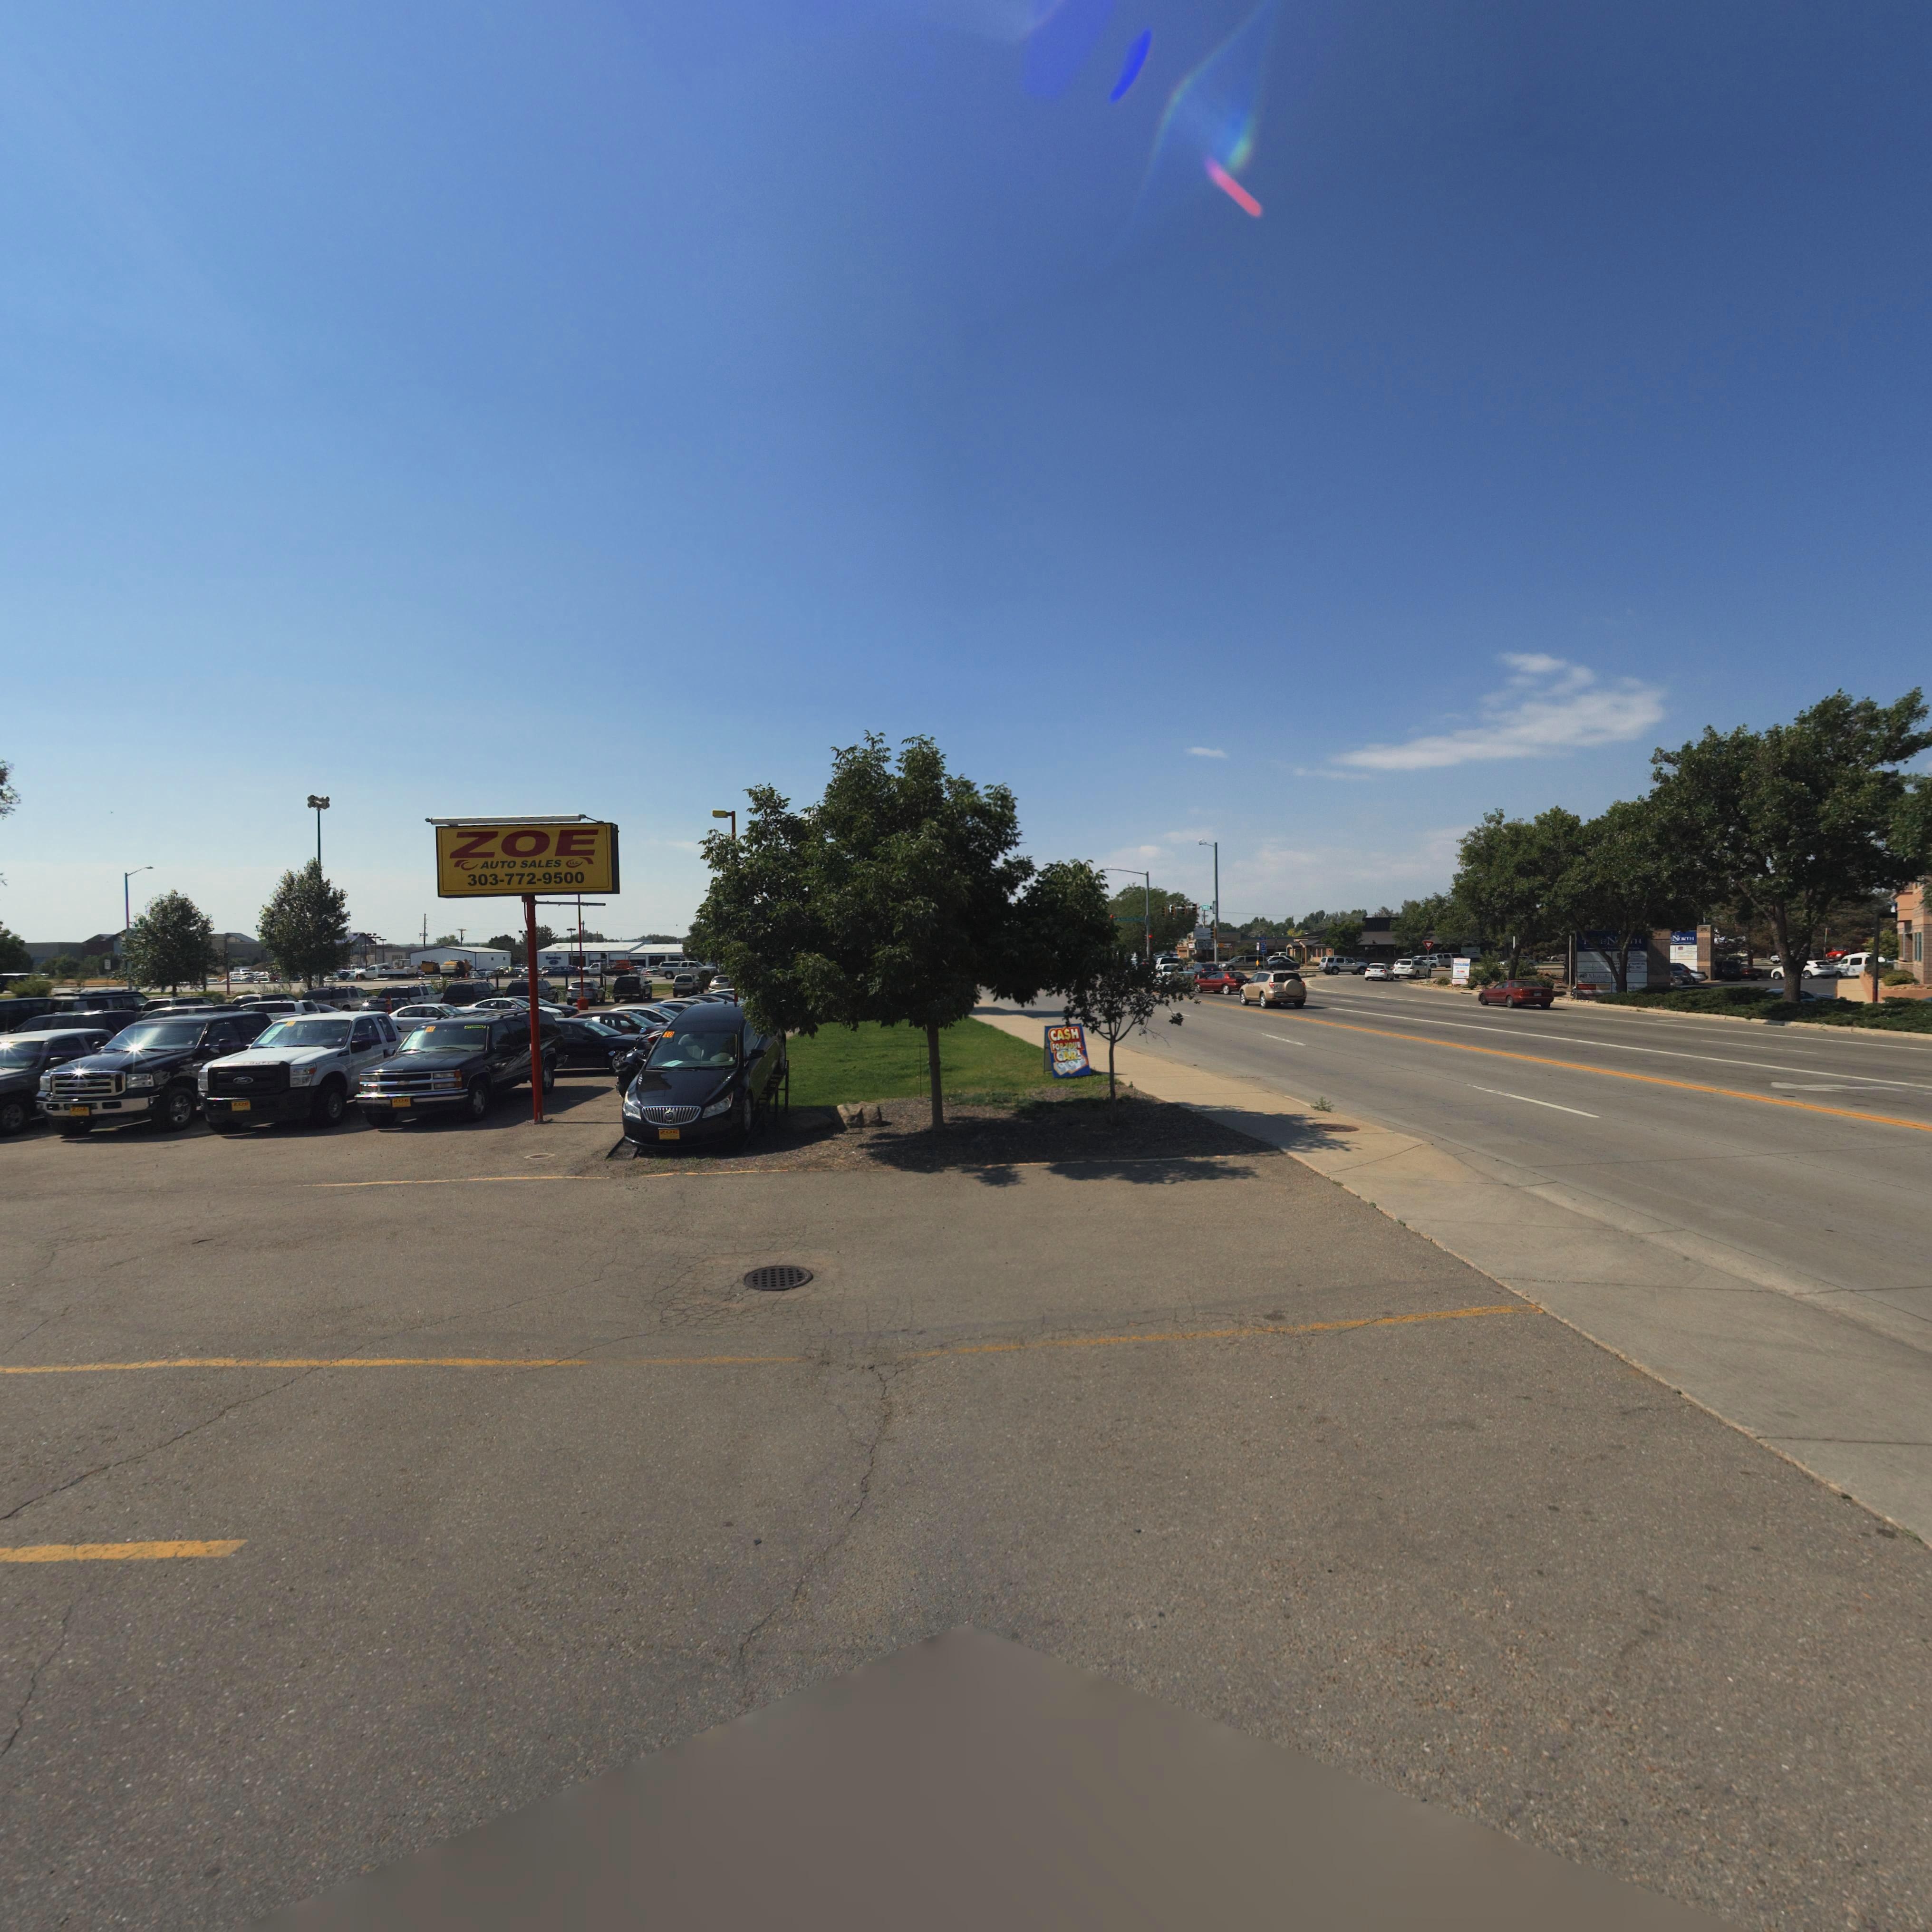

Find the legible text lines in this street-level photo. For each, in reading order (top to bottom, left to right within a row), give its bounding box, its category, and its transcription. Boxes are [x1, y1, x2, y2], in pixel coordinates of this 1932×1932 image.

[448, 827, 600, 859] BusinessName: ZOE
[479, 859, 562, 870] BusinessName: AUTO SALES